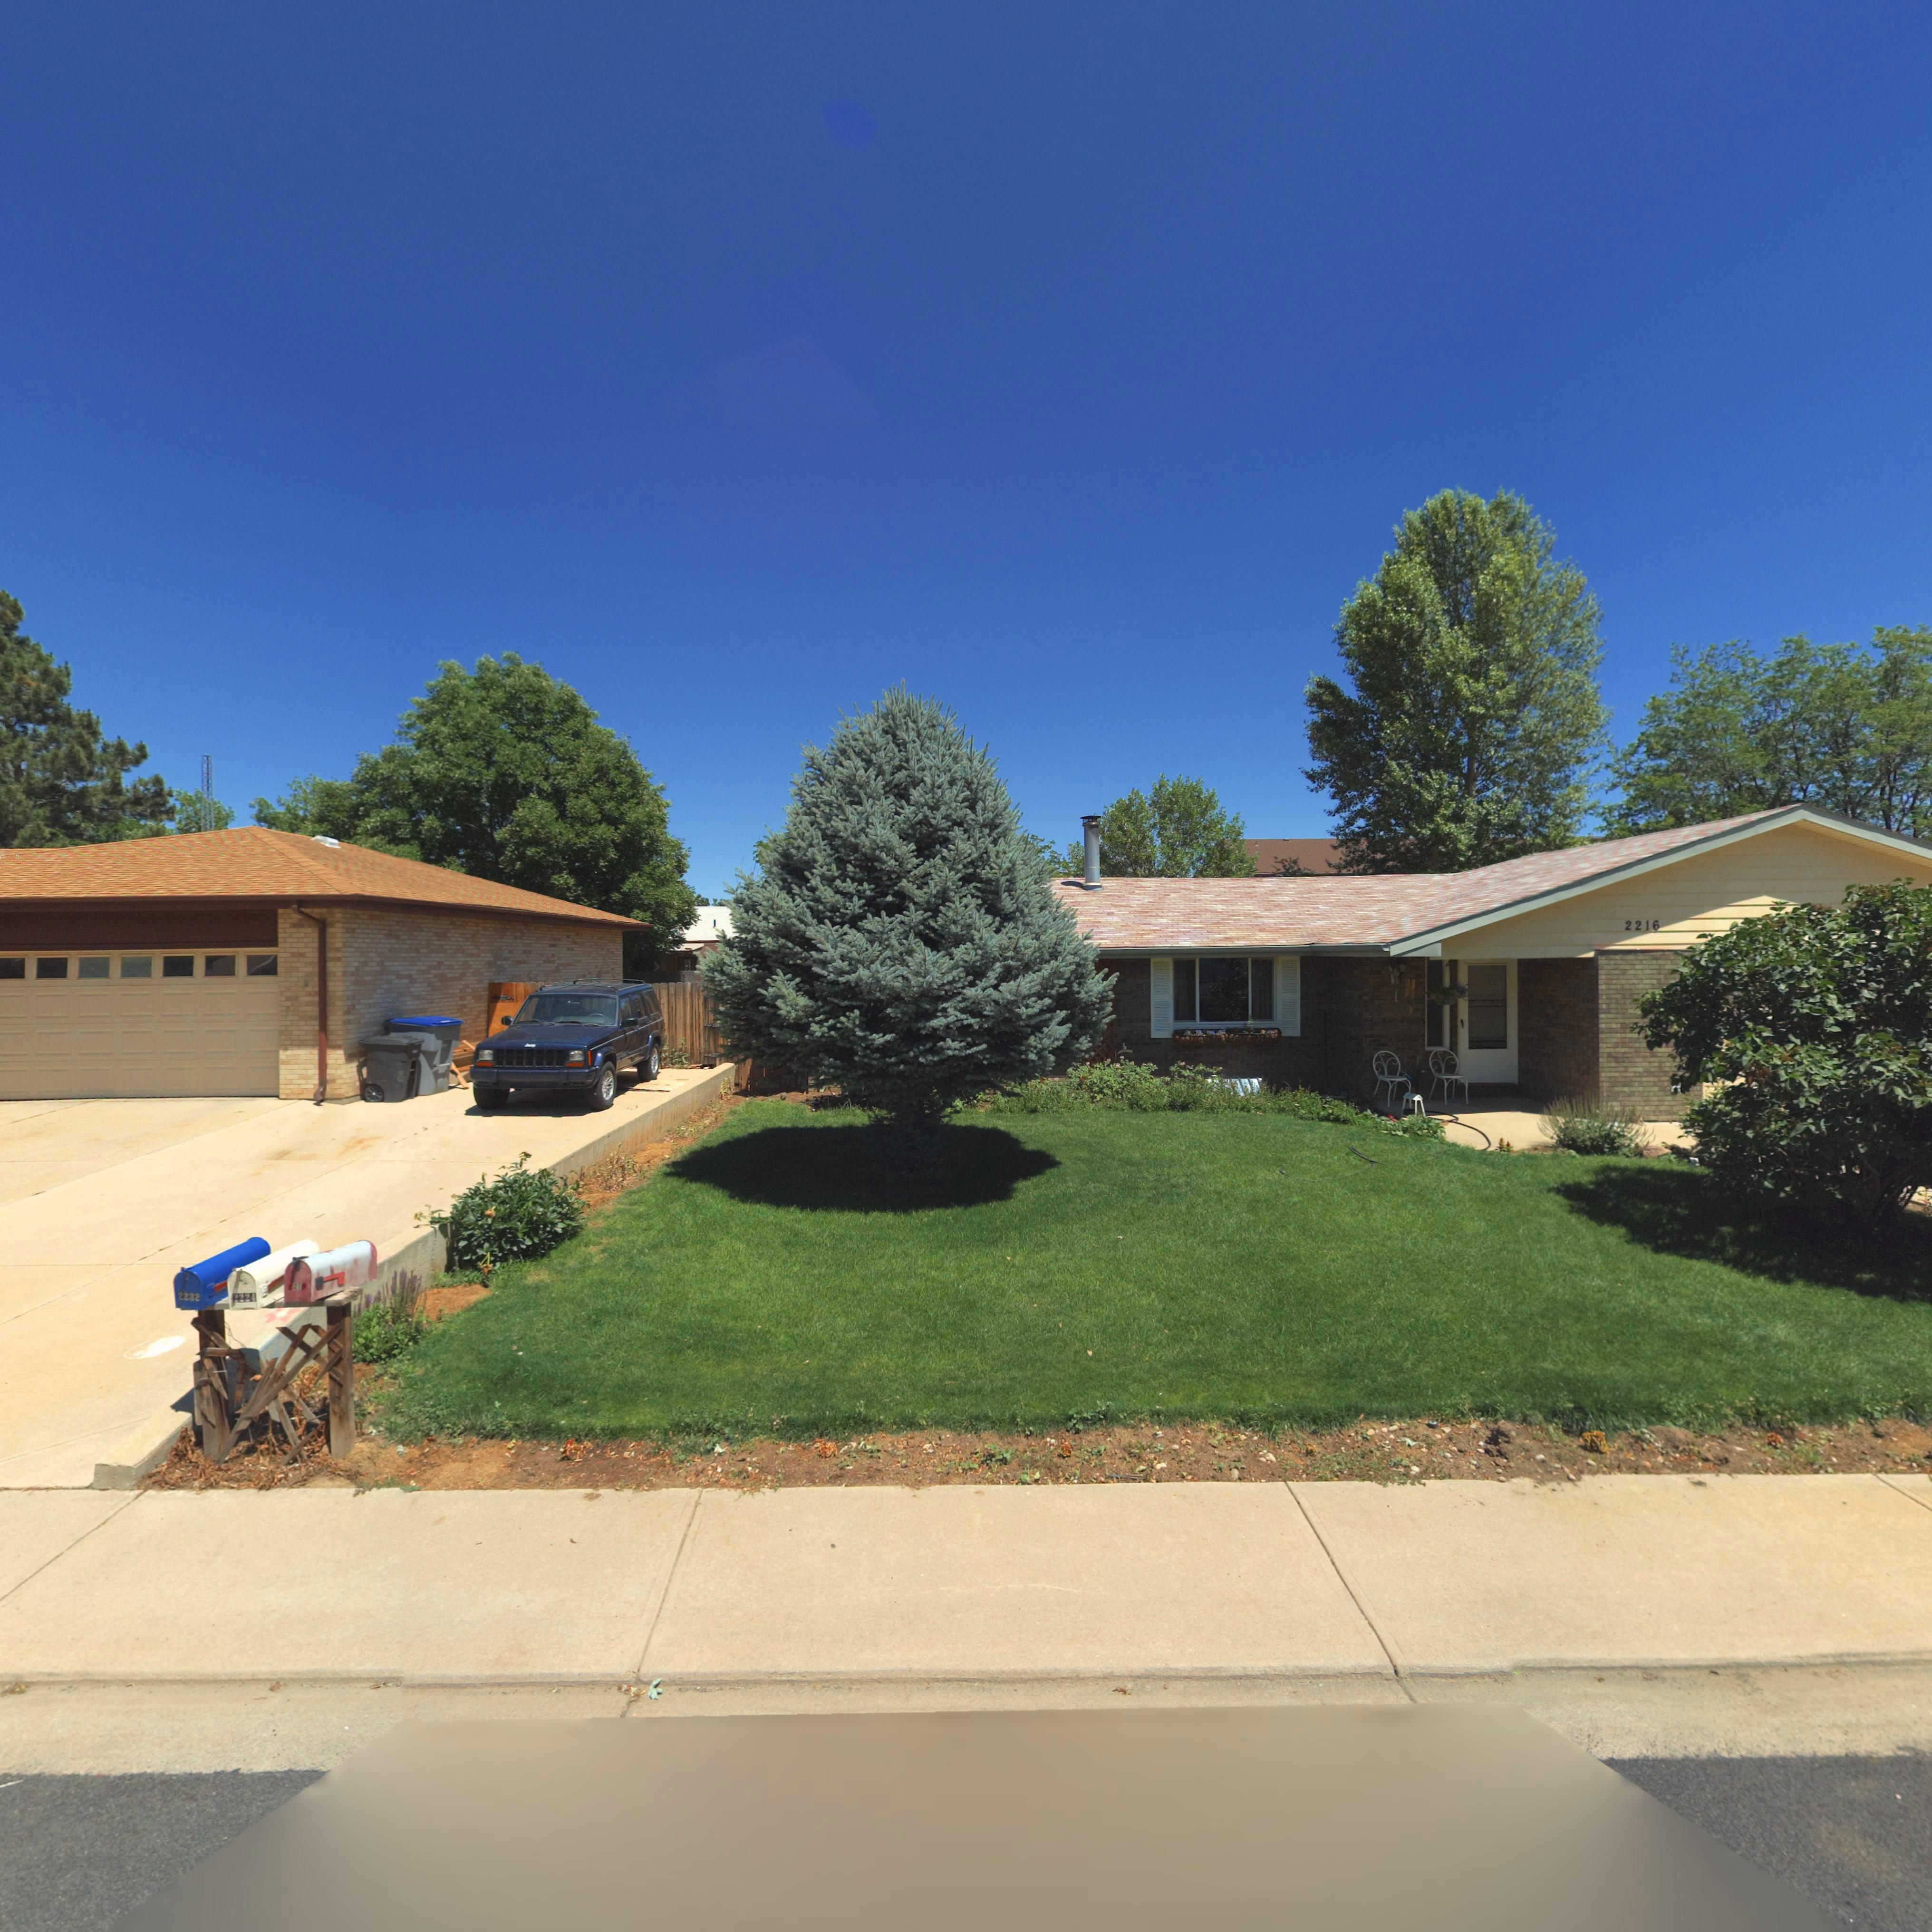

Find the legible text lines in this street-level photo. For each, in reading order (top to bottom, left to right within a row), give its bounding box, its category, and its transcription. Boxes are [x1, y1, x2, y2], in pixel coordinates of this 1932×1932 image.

[1623, 918, 1662, 931] StreetNumber: 2216
[176, 1291, 199, 1302] StreetNumber: 2232
[231, 1292, 256, 1303] StreetNumber: 2224